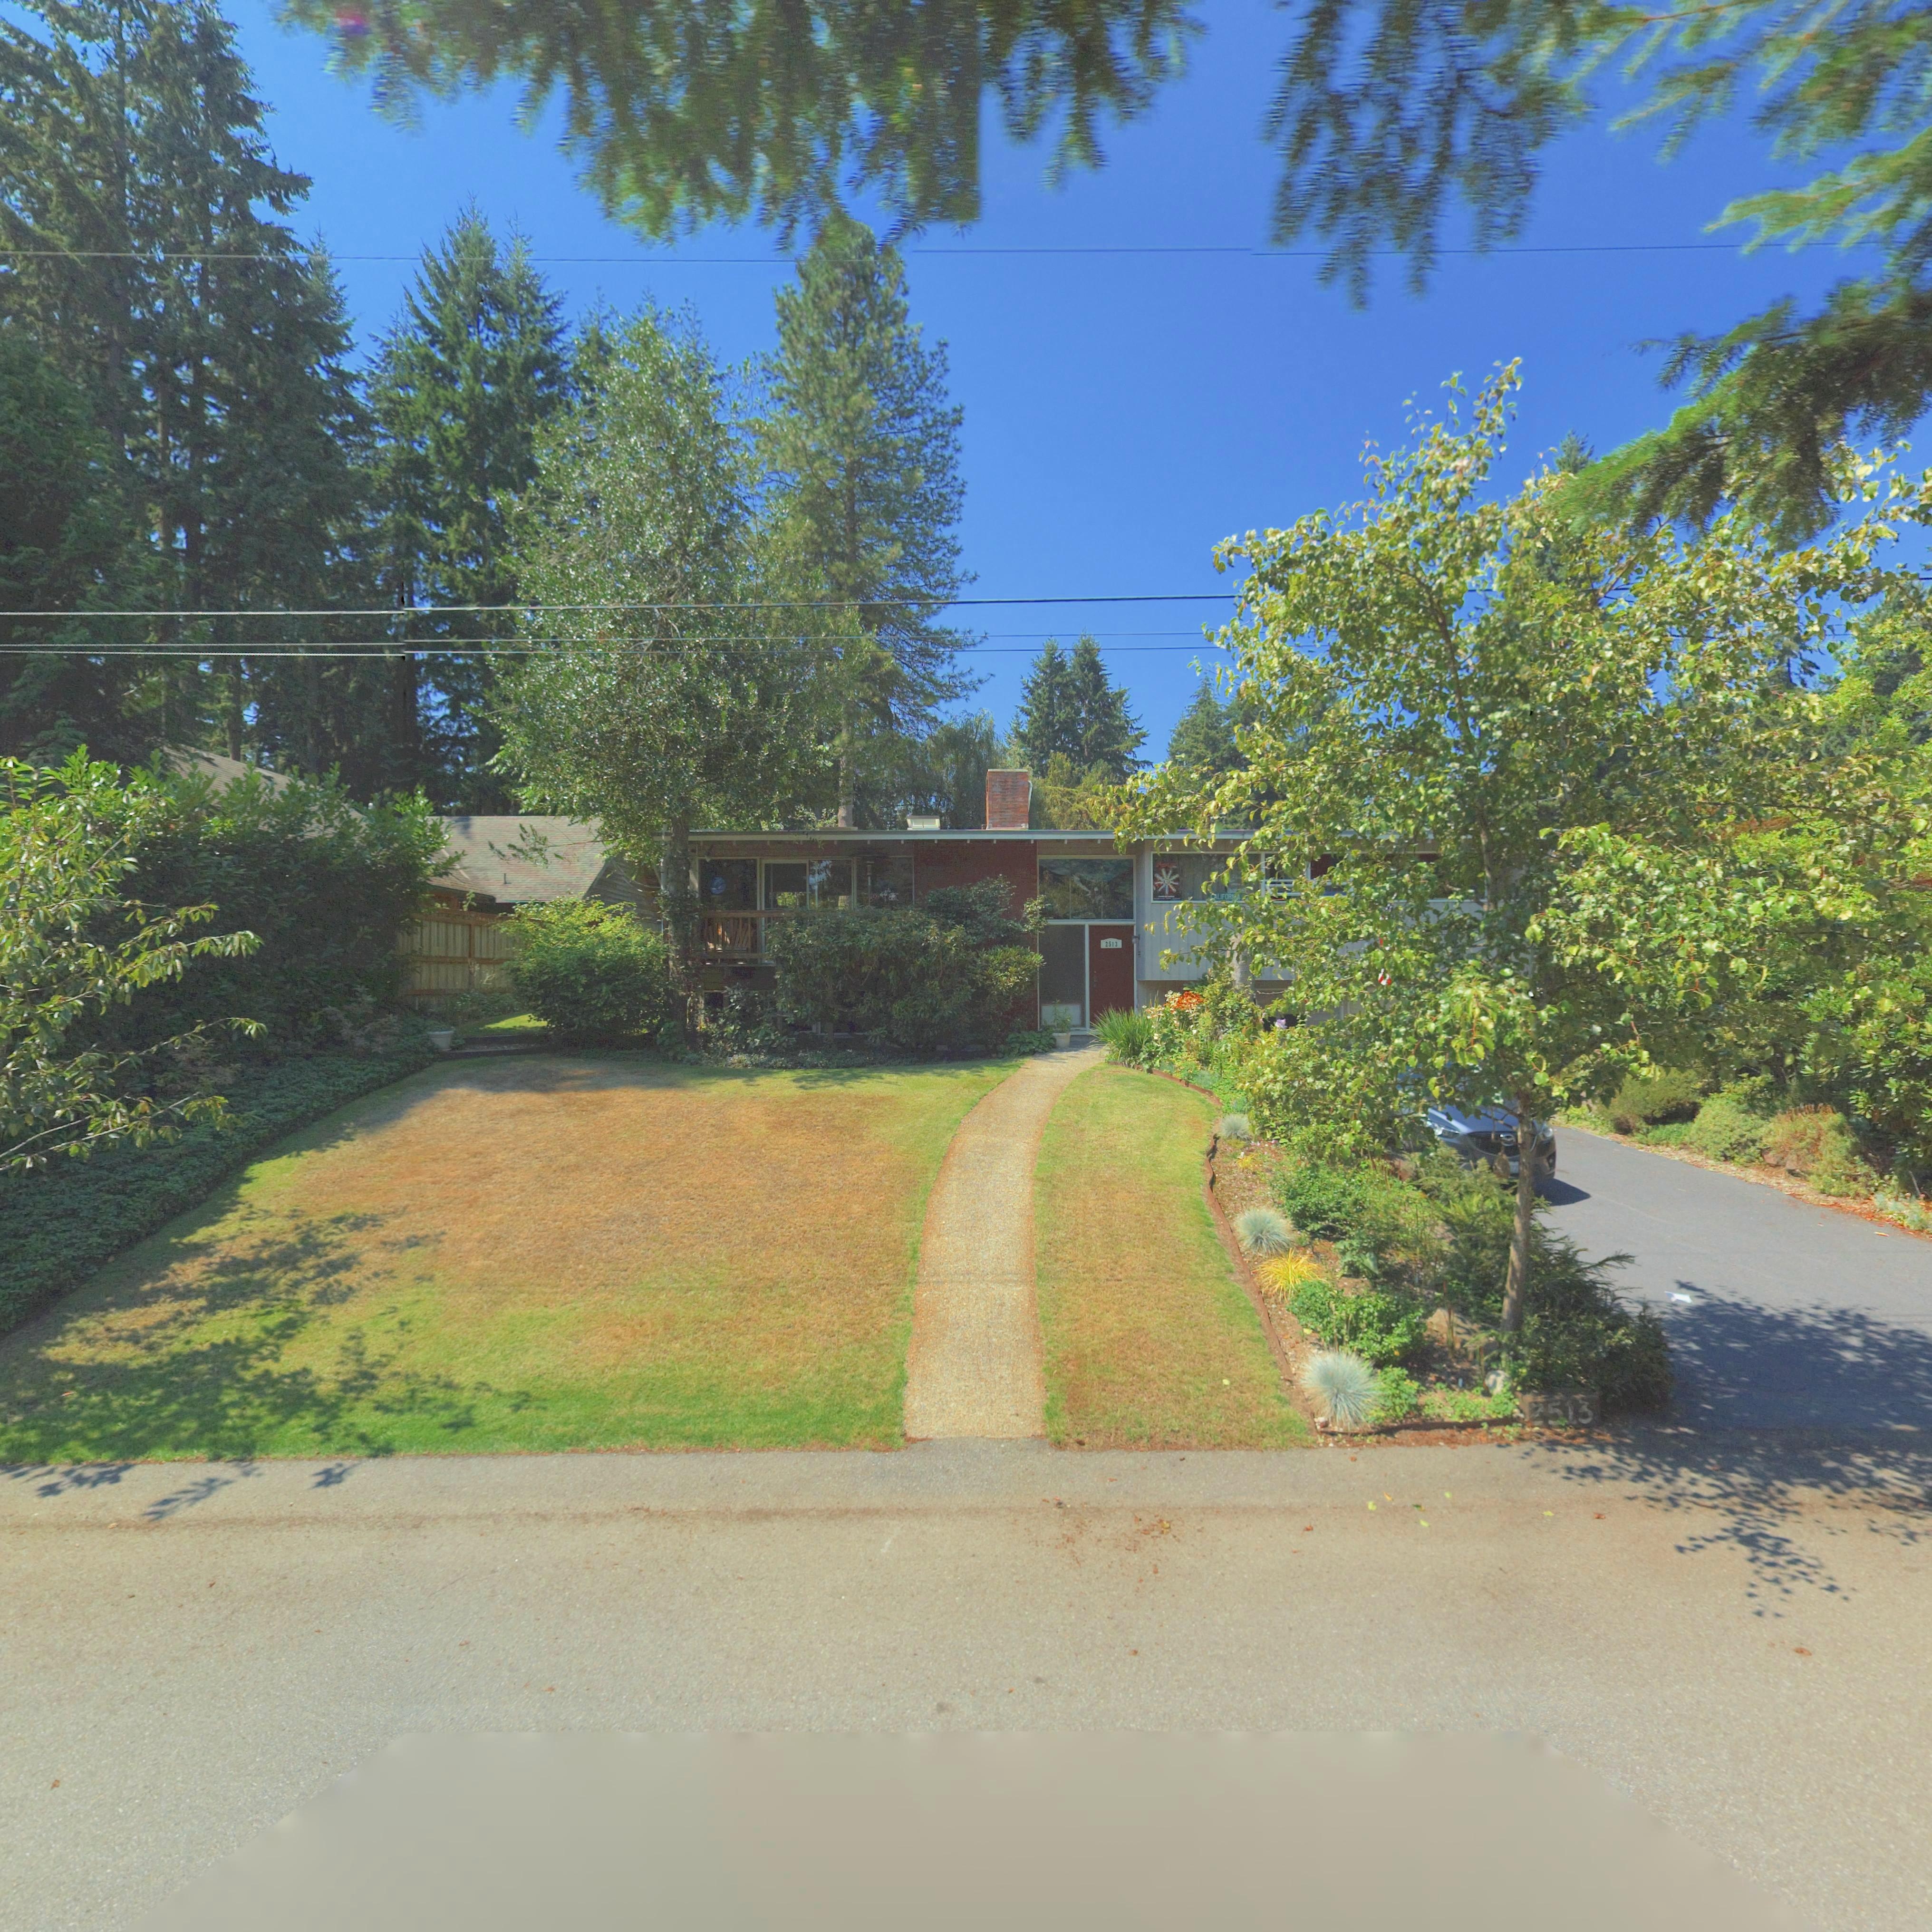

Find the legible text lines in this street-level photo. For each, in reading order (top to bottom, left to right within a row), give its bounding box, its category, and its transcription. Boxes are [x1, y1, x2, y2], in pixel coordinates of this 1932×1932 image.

[1104, 941, 1117, 946] StreetNumber: 2513
[1528, 1400, 1594, 1424] StreetNumber: 2513